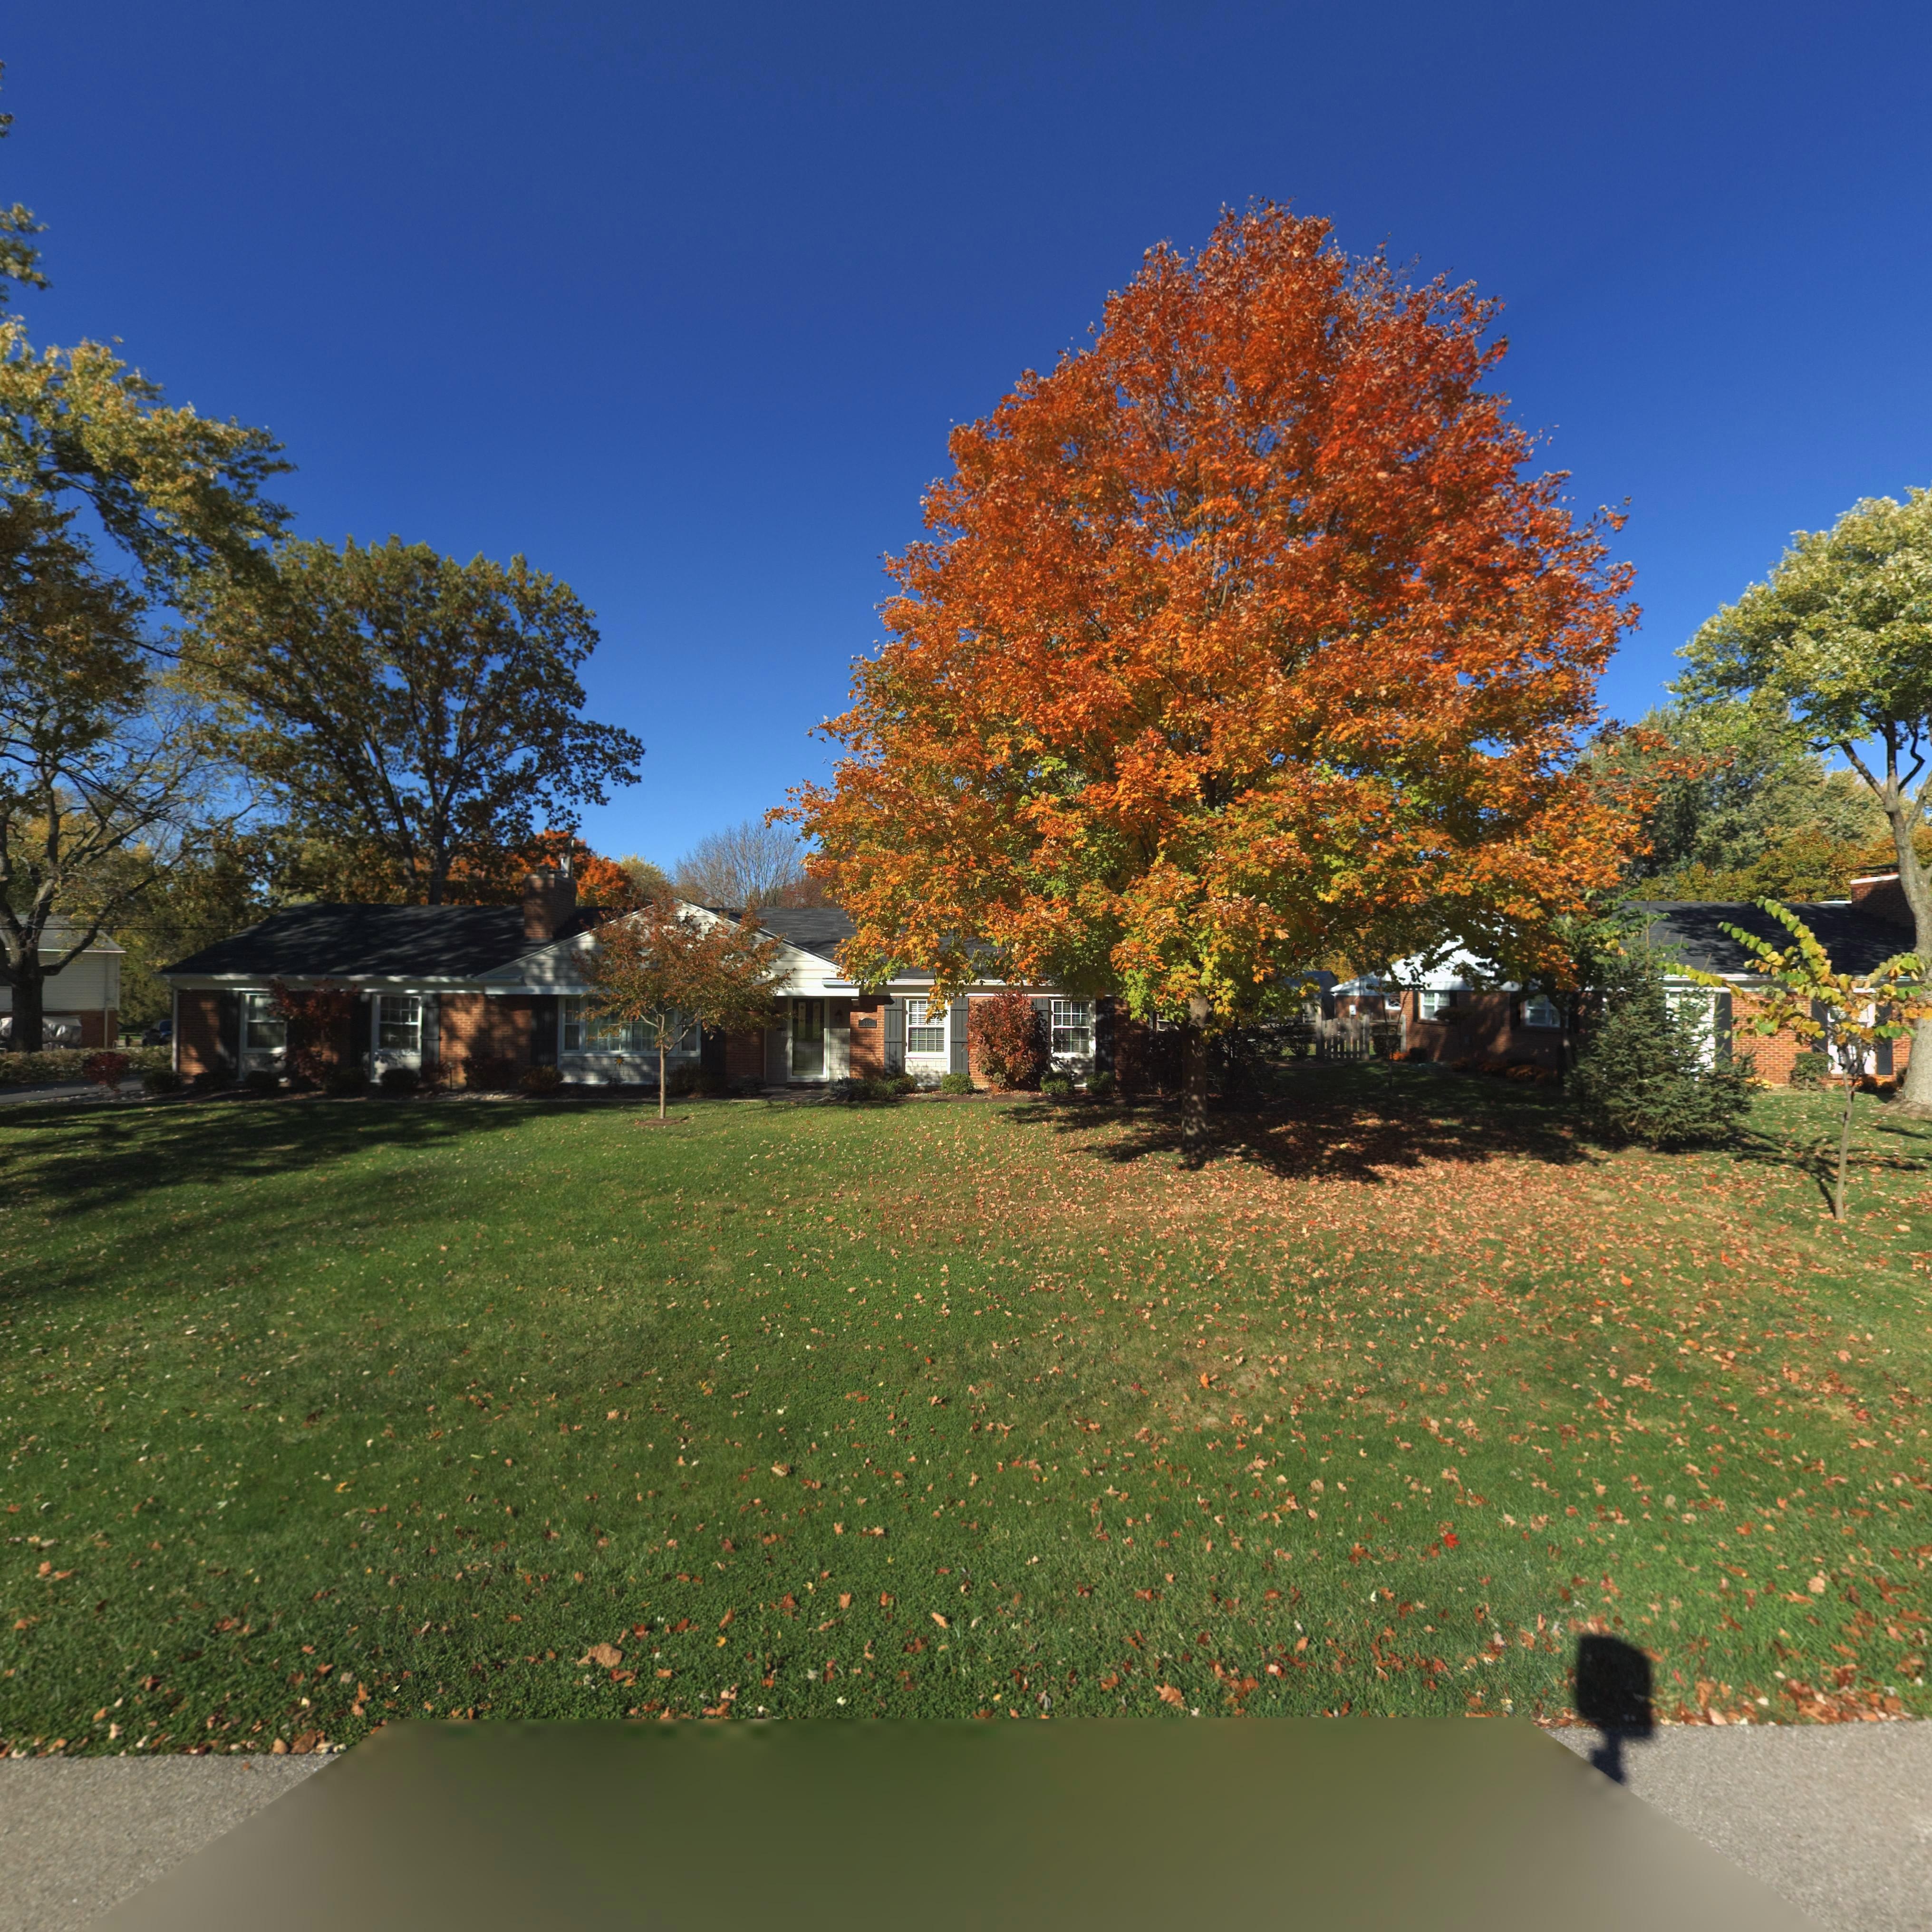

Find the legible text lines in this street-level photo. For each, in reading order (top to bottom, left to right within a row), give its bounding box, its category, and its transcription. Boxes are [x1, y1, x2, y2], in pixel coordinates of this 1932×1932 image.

[862, 1020, 872, 1027] StreetNumber: 86*